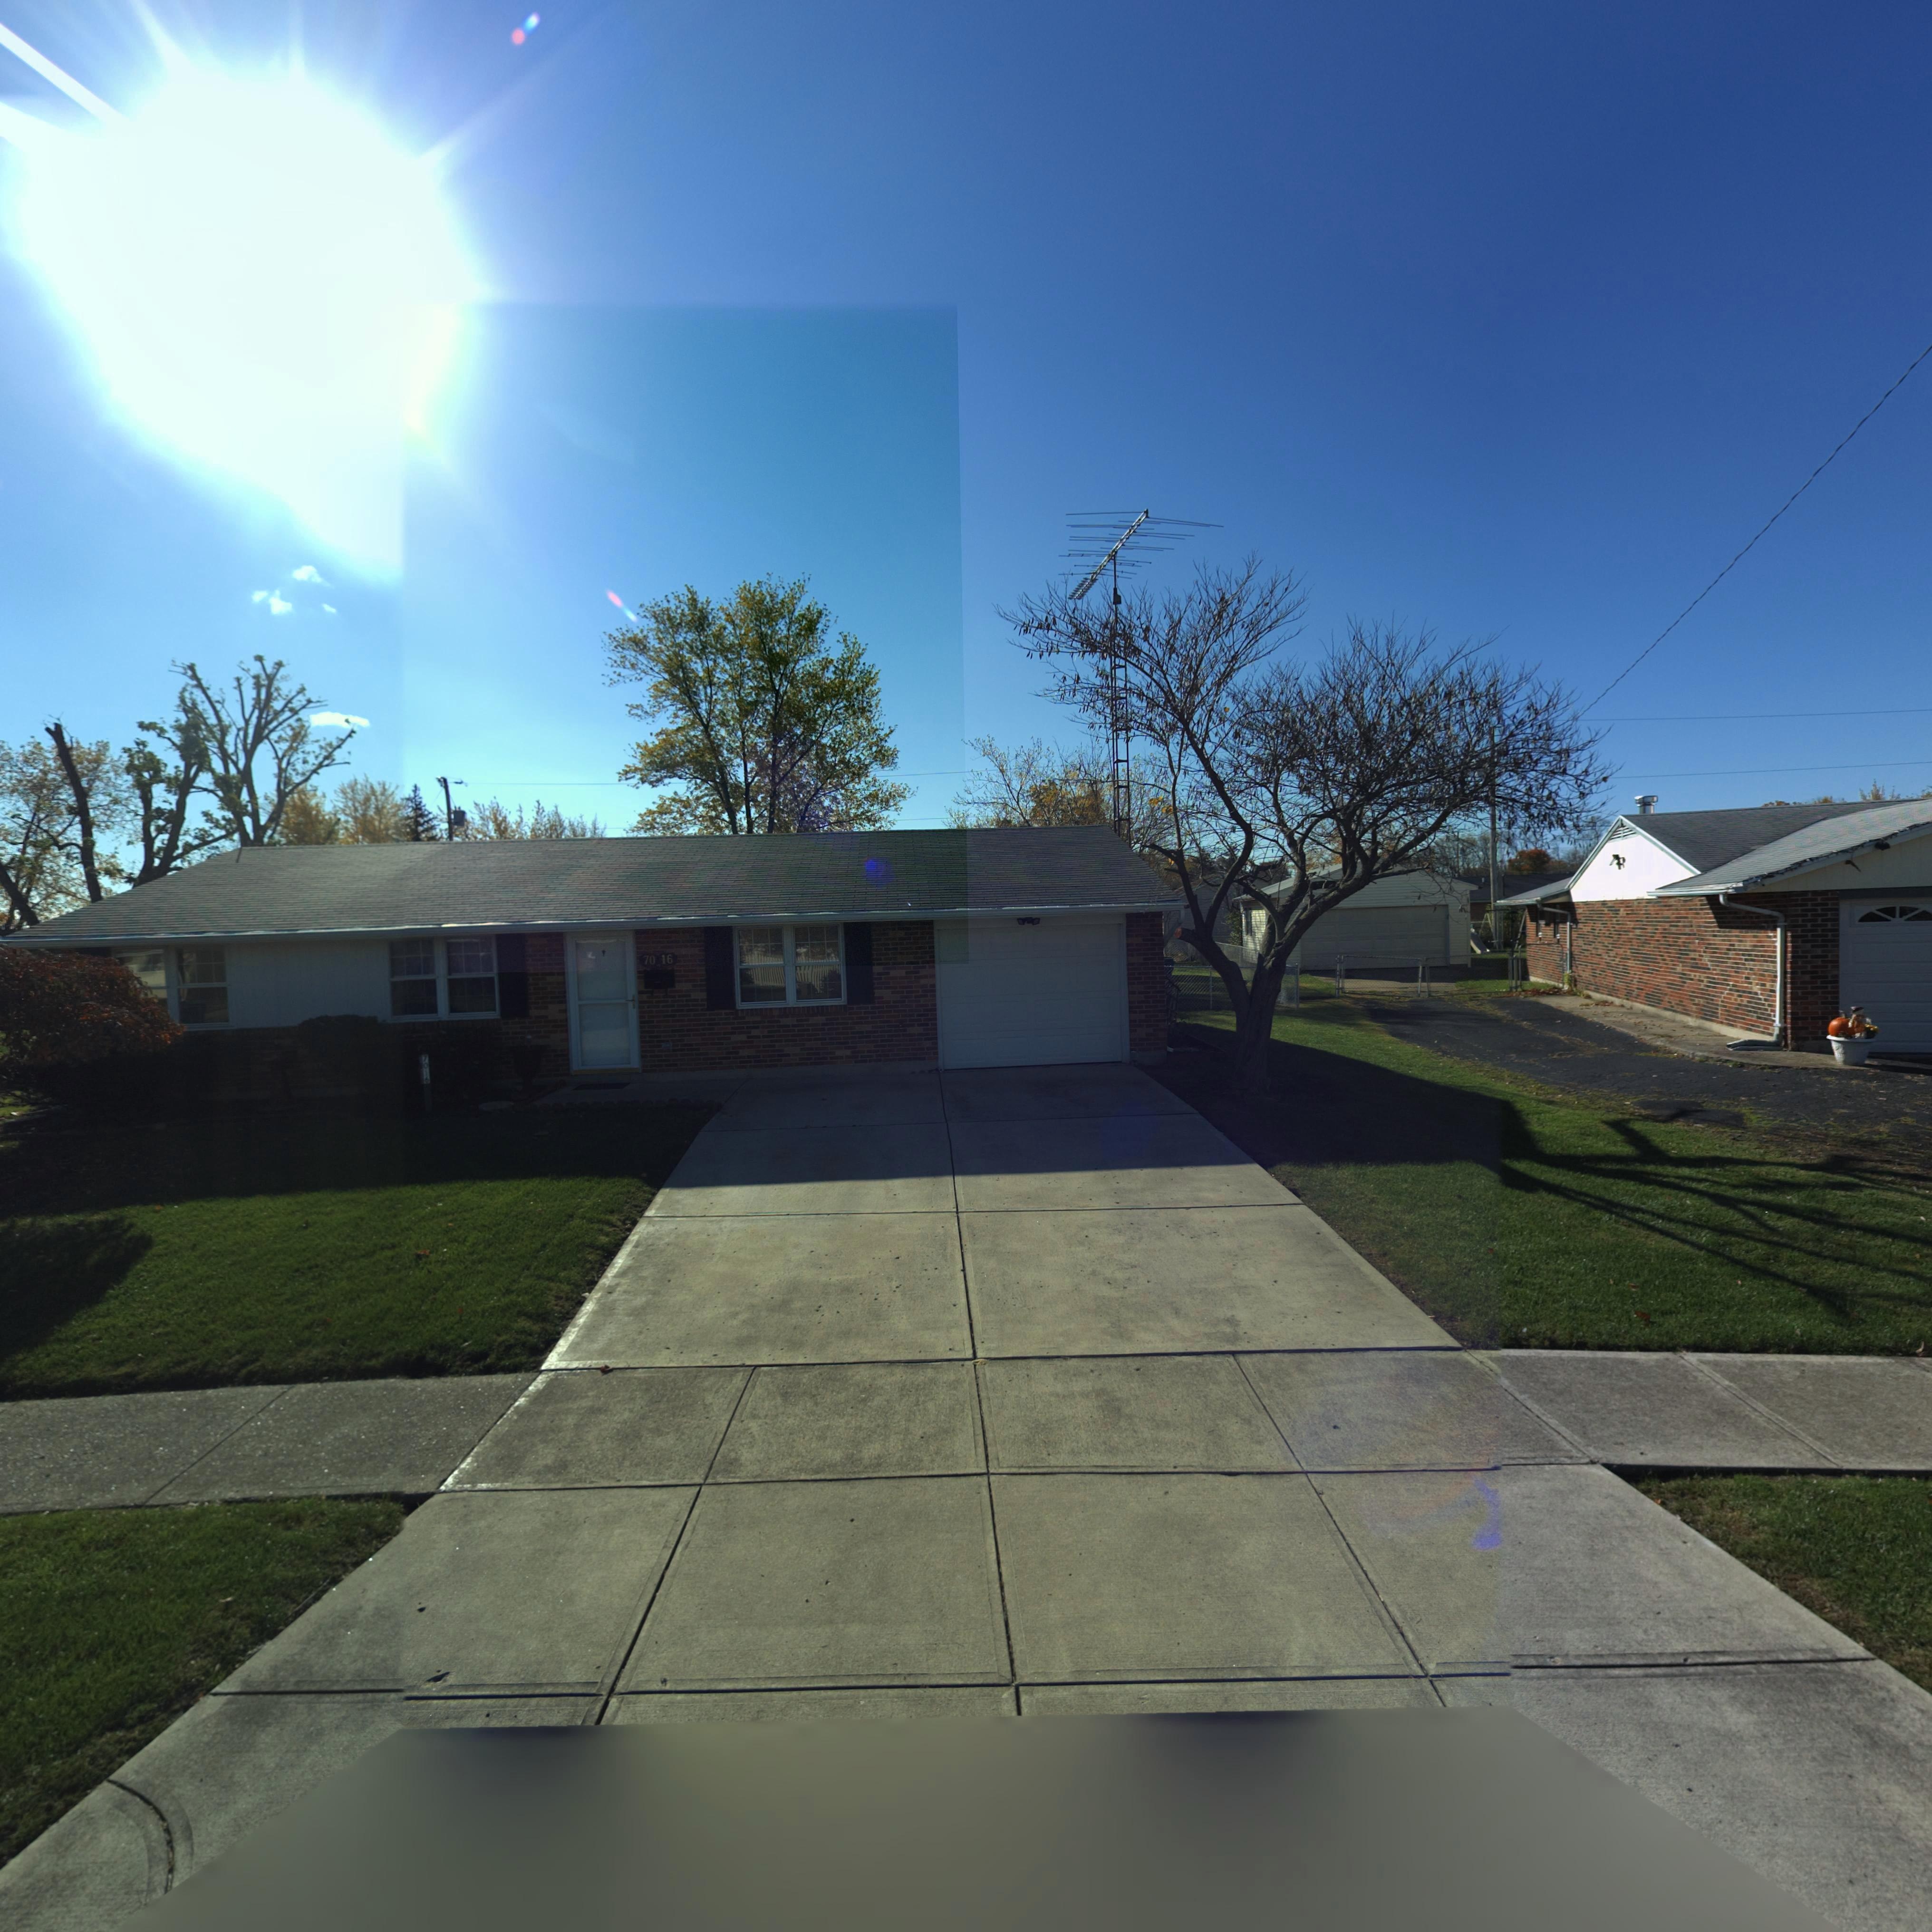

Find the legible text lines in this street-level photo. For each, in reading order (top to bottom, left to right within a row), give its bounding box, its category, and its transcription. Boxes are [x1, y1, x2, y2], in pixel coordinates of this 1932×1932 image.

[642, 954, 674, 966] StreetNumber: 70*16
[422, 1054, 431, 1084] StreetNumber: 7016